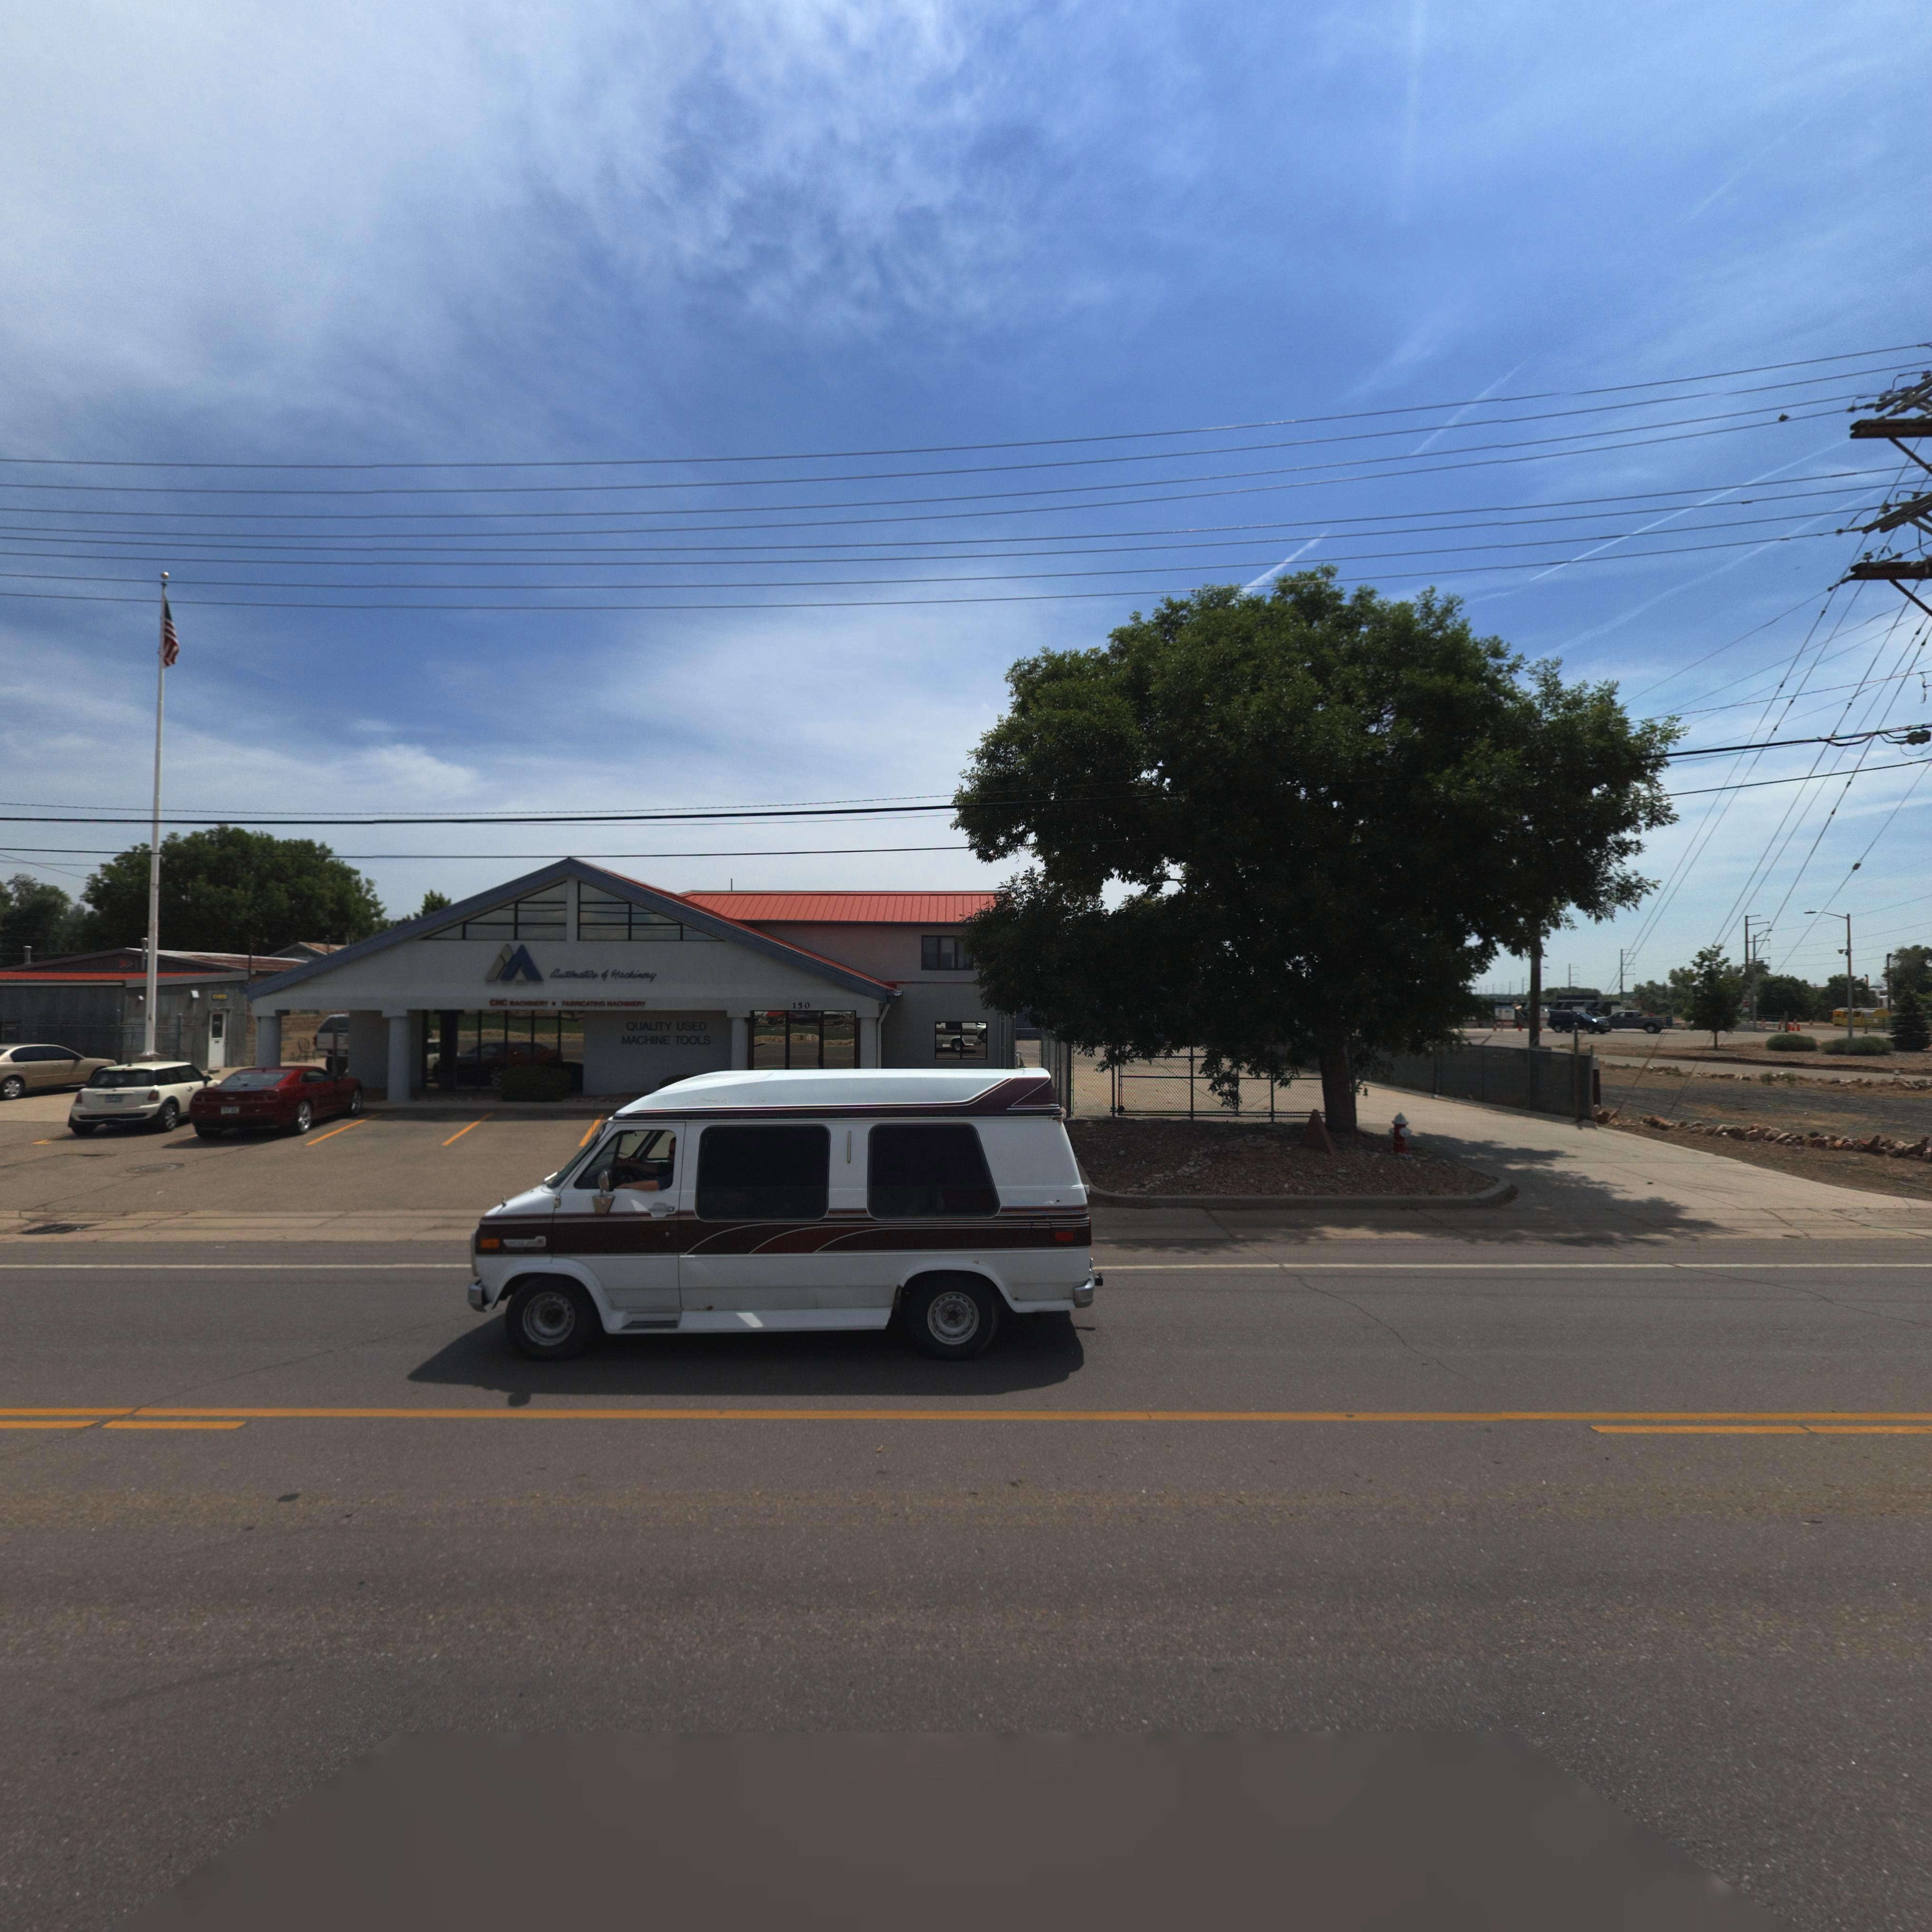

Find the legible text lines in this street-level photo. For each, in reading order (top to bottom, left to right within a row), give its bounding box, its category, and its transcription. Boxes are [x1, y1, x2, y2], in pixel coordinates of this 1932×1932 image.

[548, 967, 657, 983] BusinessName: Autimatics * Machinery
[213, 993, 228, 999] BusinessName: GMB
[792, 1002, 810, 1009] StreetNumber: 150